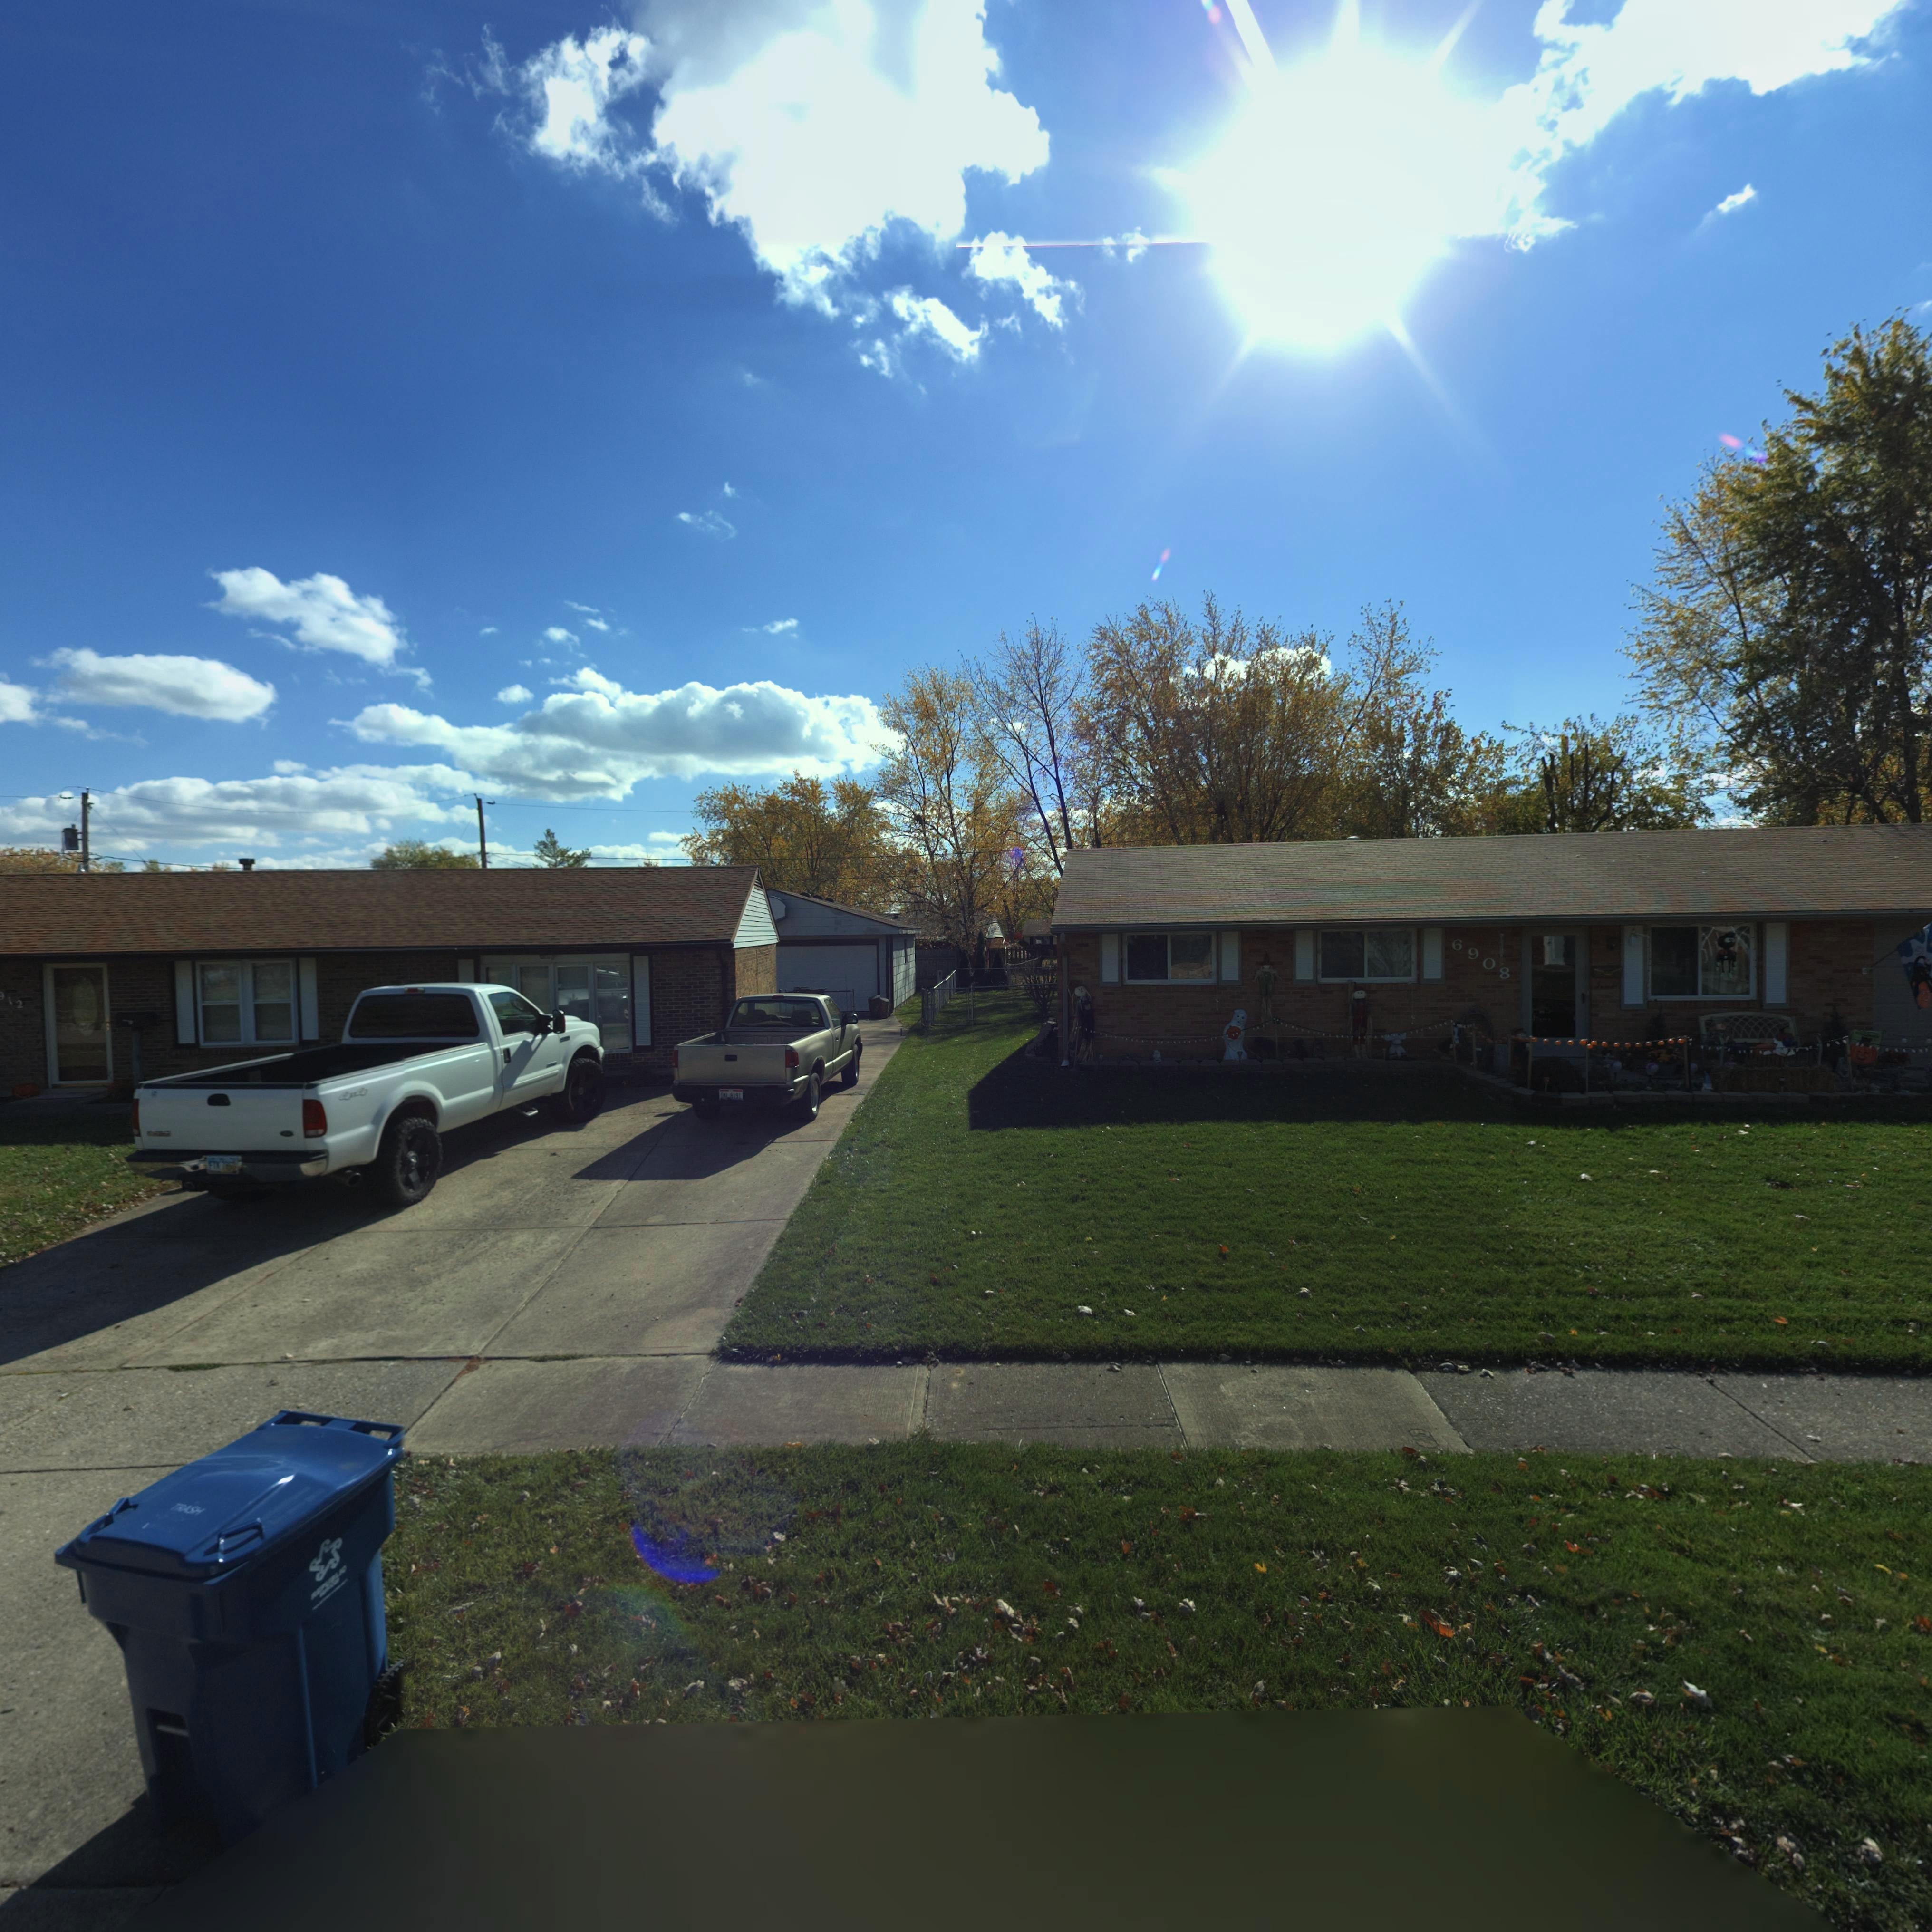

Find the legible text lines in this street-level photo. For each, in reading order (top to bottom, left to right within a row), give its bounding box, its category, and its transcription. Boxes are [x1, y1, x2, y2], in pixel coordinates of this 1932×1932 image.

[1450, 937, 1512, 981] StreetNumber: 6908
[7, 995, 24, 1010] StreetNumber: 12